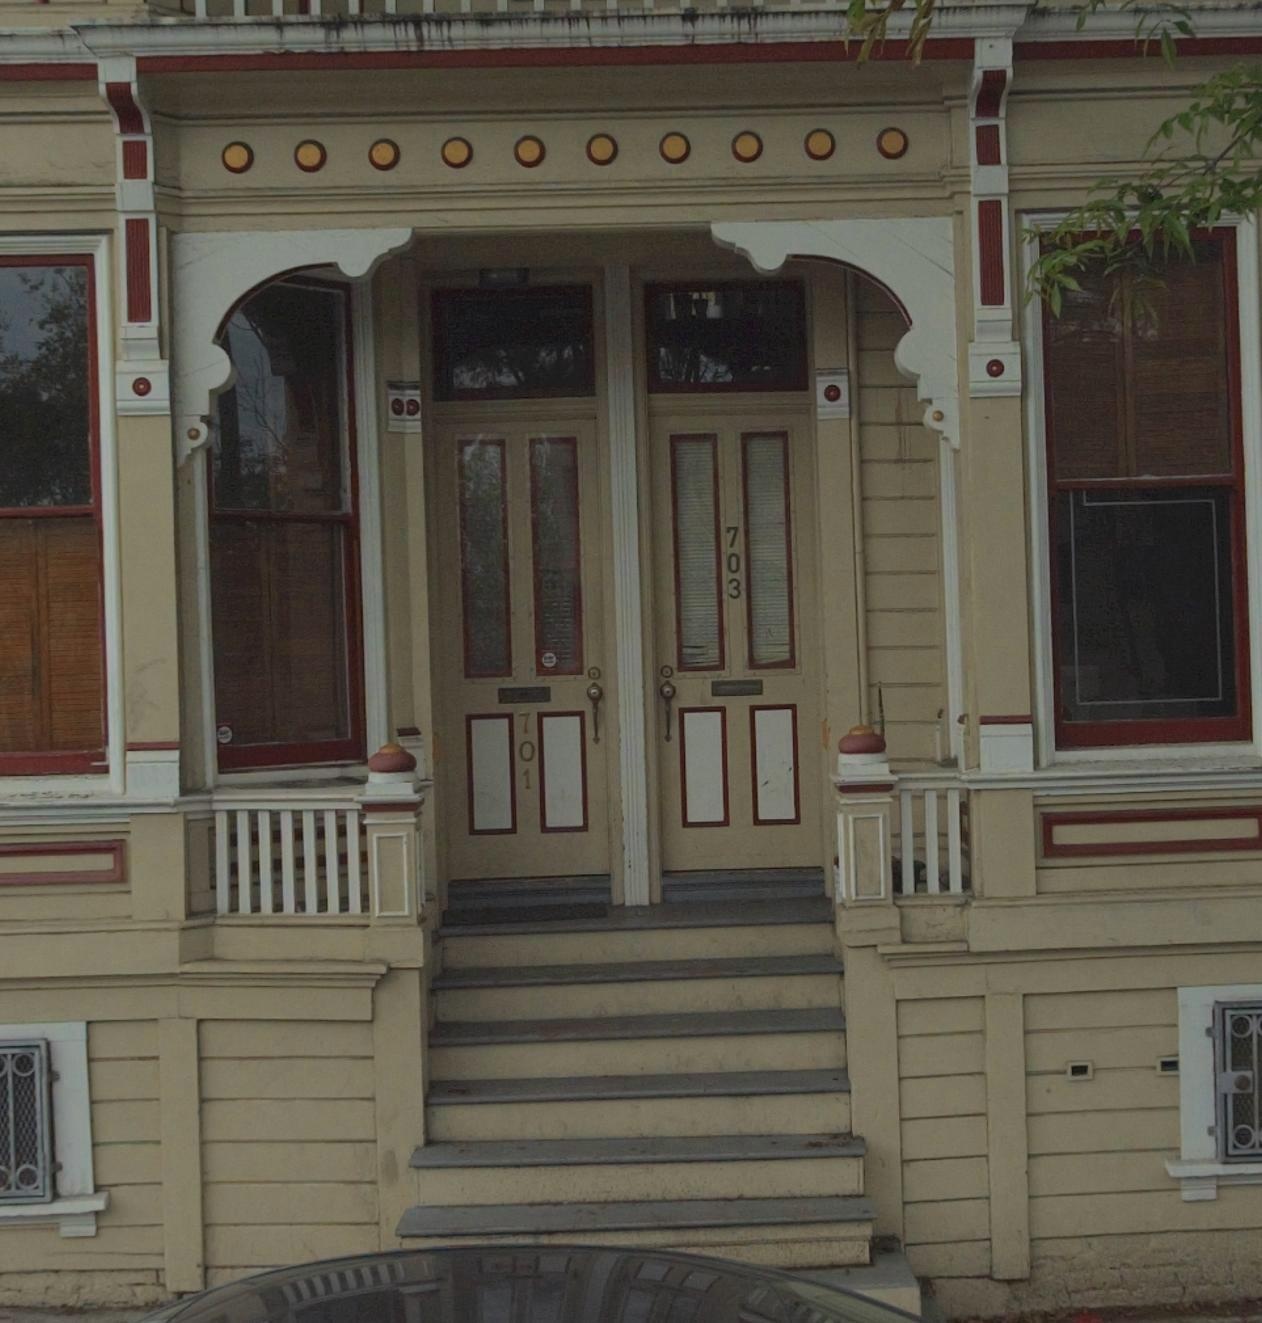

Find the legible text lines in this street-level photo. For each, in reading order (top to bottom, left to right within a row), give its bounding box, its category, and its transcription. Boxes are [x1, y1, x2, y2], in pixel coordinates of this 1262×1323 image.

[724, 523, 743, 603] StreetNumber: 703
[516, 709, 539, 793] StreetNumber: 701